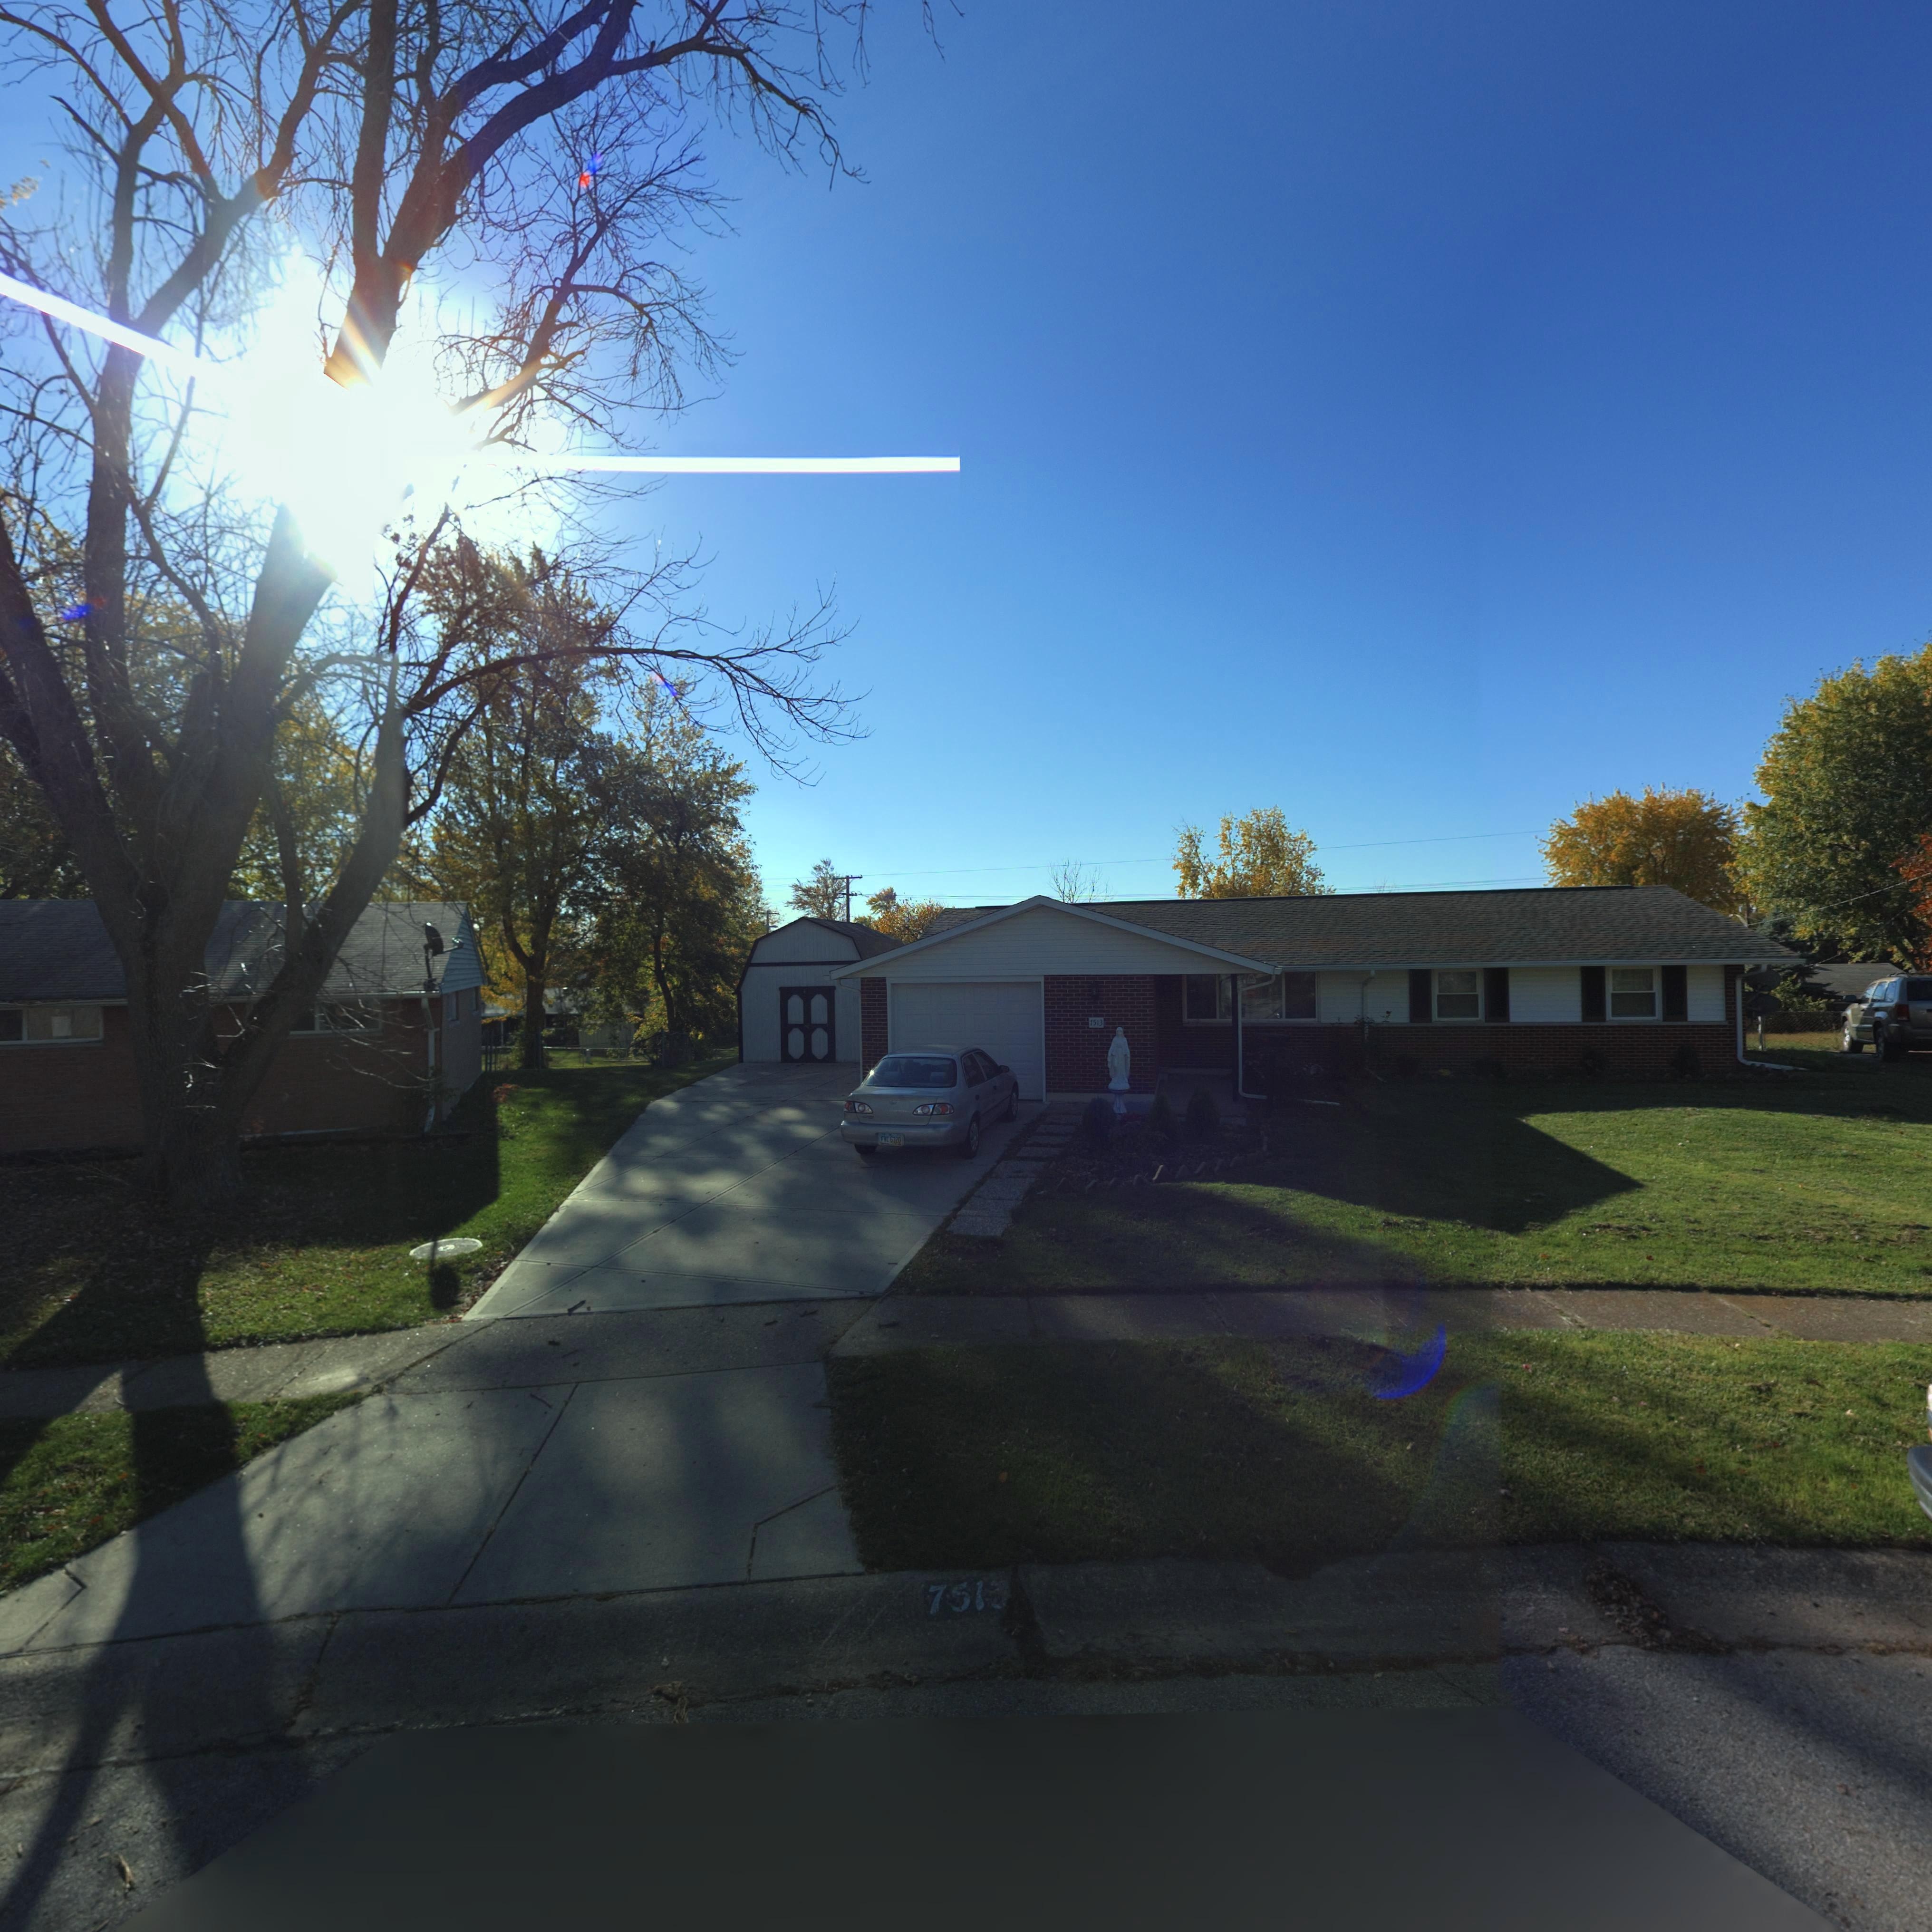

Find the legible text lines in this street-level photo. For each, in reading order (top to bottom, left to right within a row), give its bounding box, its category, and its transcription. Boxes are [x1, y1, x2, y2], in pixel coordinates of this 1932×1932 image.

[1088, 1018, 1104, 1028] StreetNumber: 7513
[923, 1574, 1014, 1621] StreetNumber: 751*